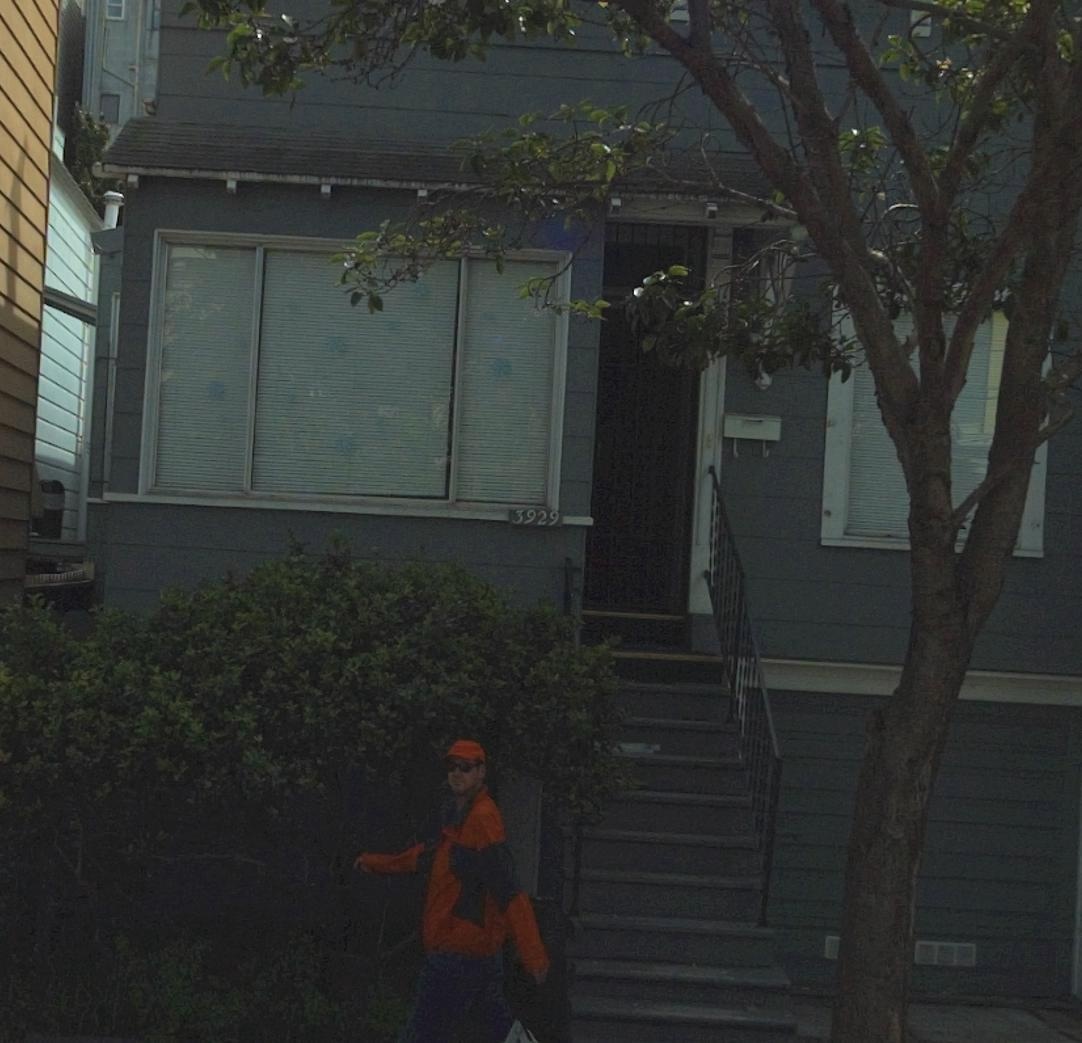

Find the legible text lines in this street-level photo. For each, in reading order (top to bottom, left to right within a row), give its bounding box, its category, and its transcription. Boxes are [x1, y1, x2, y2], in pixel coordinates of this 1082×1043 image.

[511, 509, 560, 527] StreetNumber: 3929